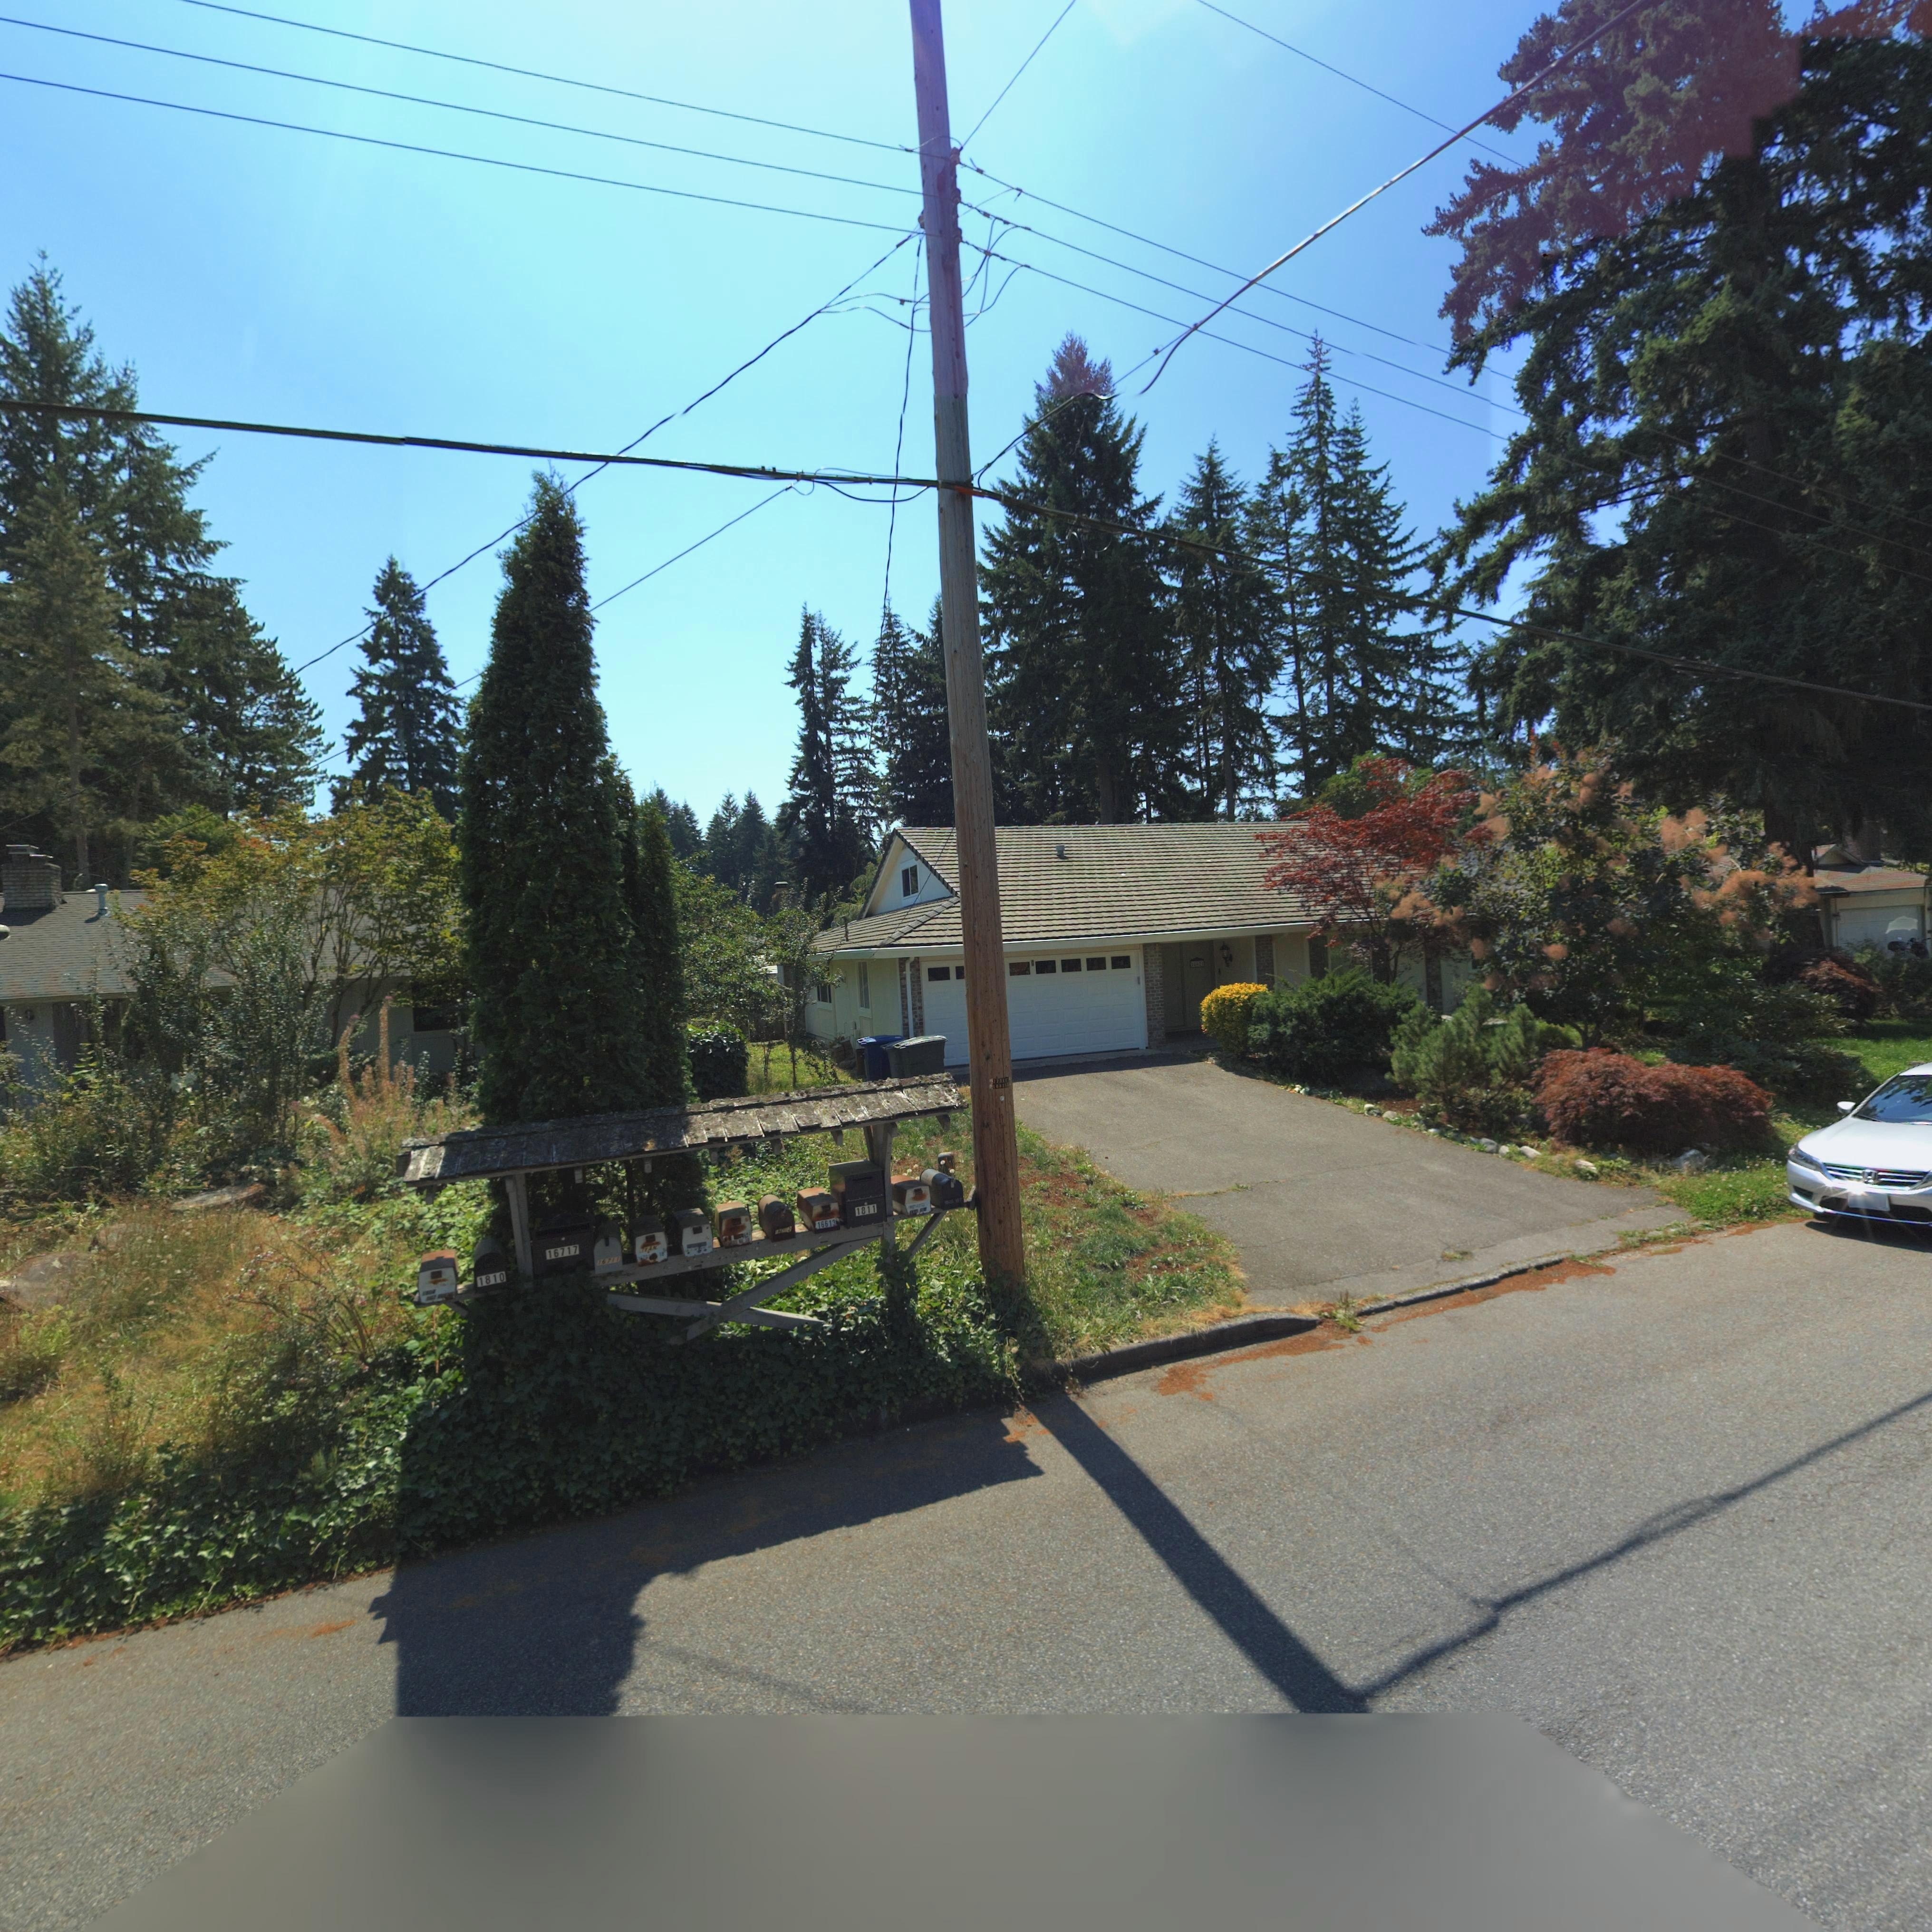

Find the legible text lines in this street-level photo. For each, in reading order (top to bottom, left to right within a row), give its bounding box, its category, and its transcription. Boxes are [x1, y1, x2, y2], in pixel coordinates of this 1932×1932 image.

[1191, 961, 1204, 966] StreetNumber: 16*2*
[856, 1205, 875, 1216] StreetNumber: 1811
[817, 1218, 835, 1228] StreetNumber: 16613
[547, 1245, 578, 1259] StreetNumber: 16717
[598, 1256, 619, 1265] StreetNumber: 16711
[478, 1272, 504, 1286] StreetNumber: 1810